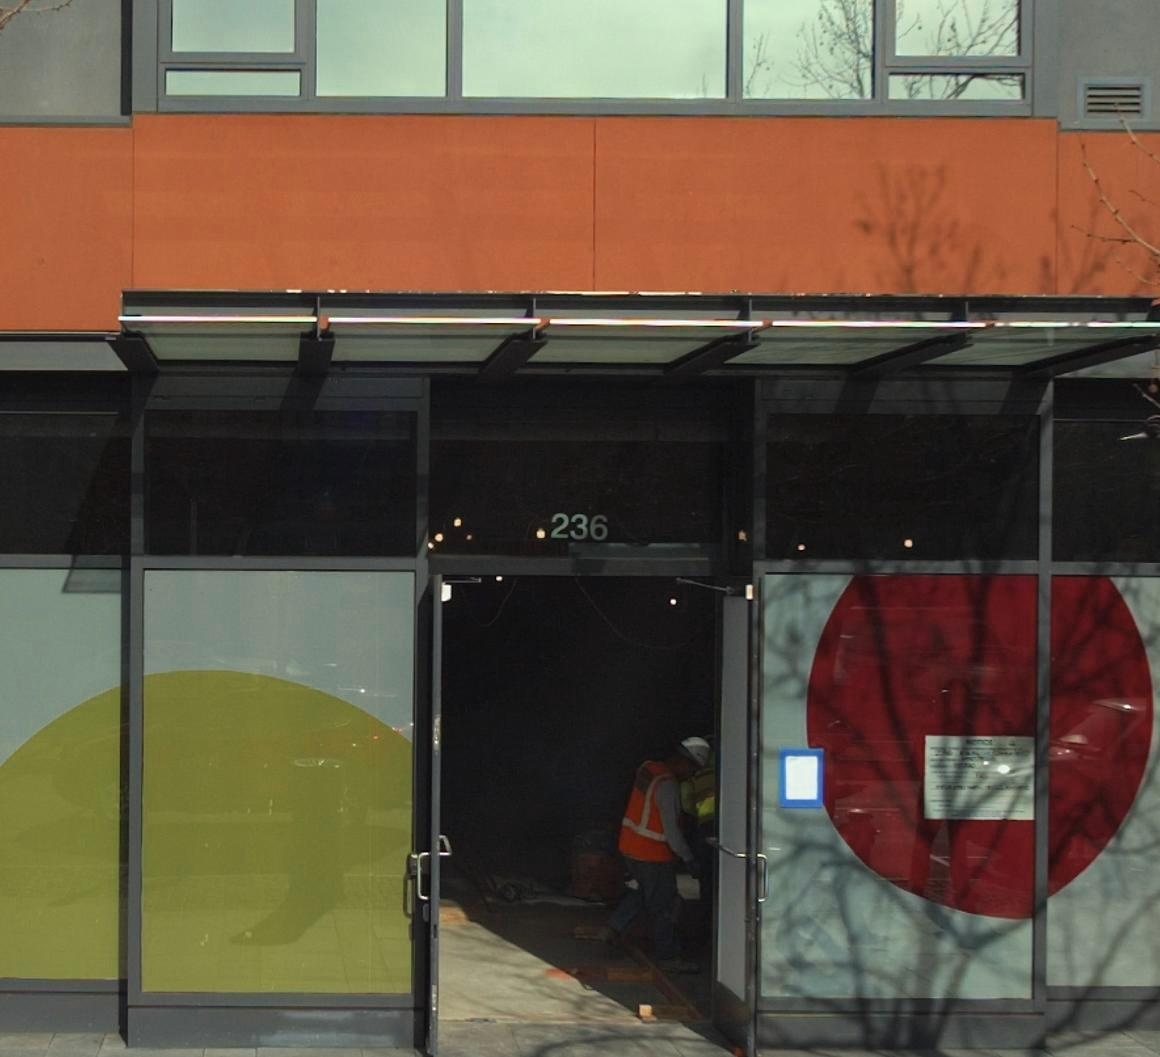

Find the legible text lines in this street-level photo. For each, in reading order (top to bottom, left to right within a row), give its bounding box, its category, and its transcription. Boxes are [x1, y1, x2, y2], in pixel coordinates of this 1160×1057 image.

[548, 510, 611, 544] StreetNumber: 236